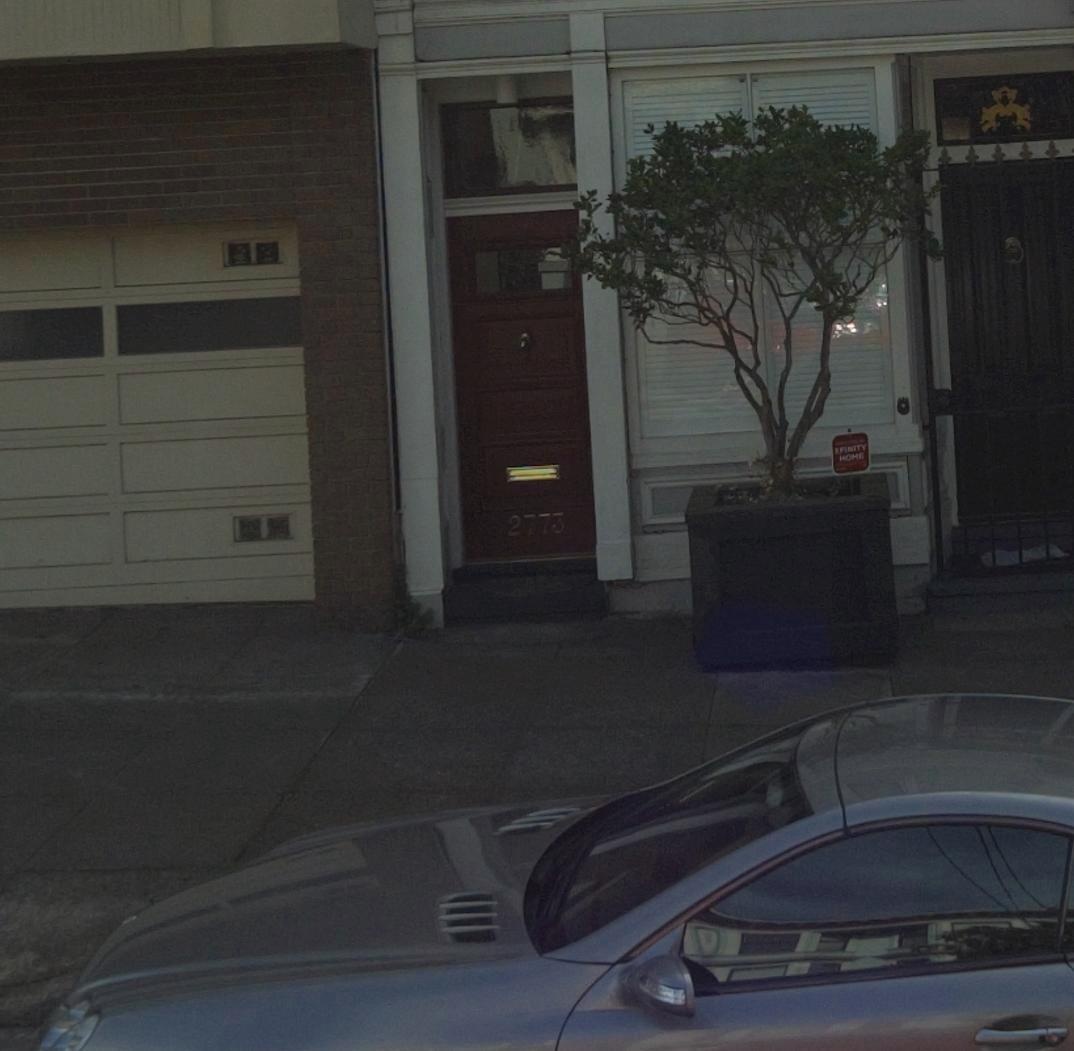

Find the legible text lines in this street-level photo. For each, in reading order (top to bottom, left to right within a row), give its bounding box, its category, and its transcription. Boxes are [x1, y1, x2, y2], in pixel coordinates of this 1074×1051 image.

[505, 510, 567, 539] StreetNumber: 2773